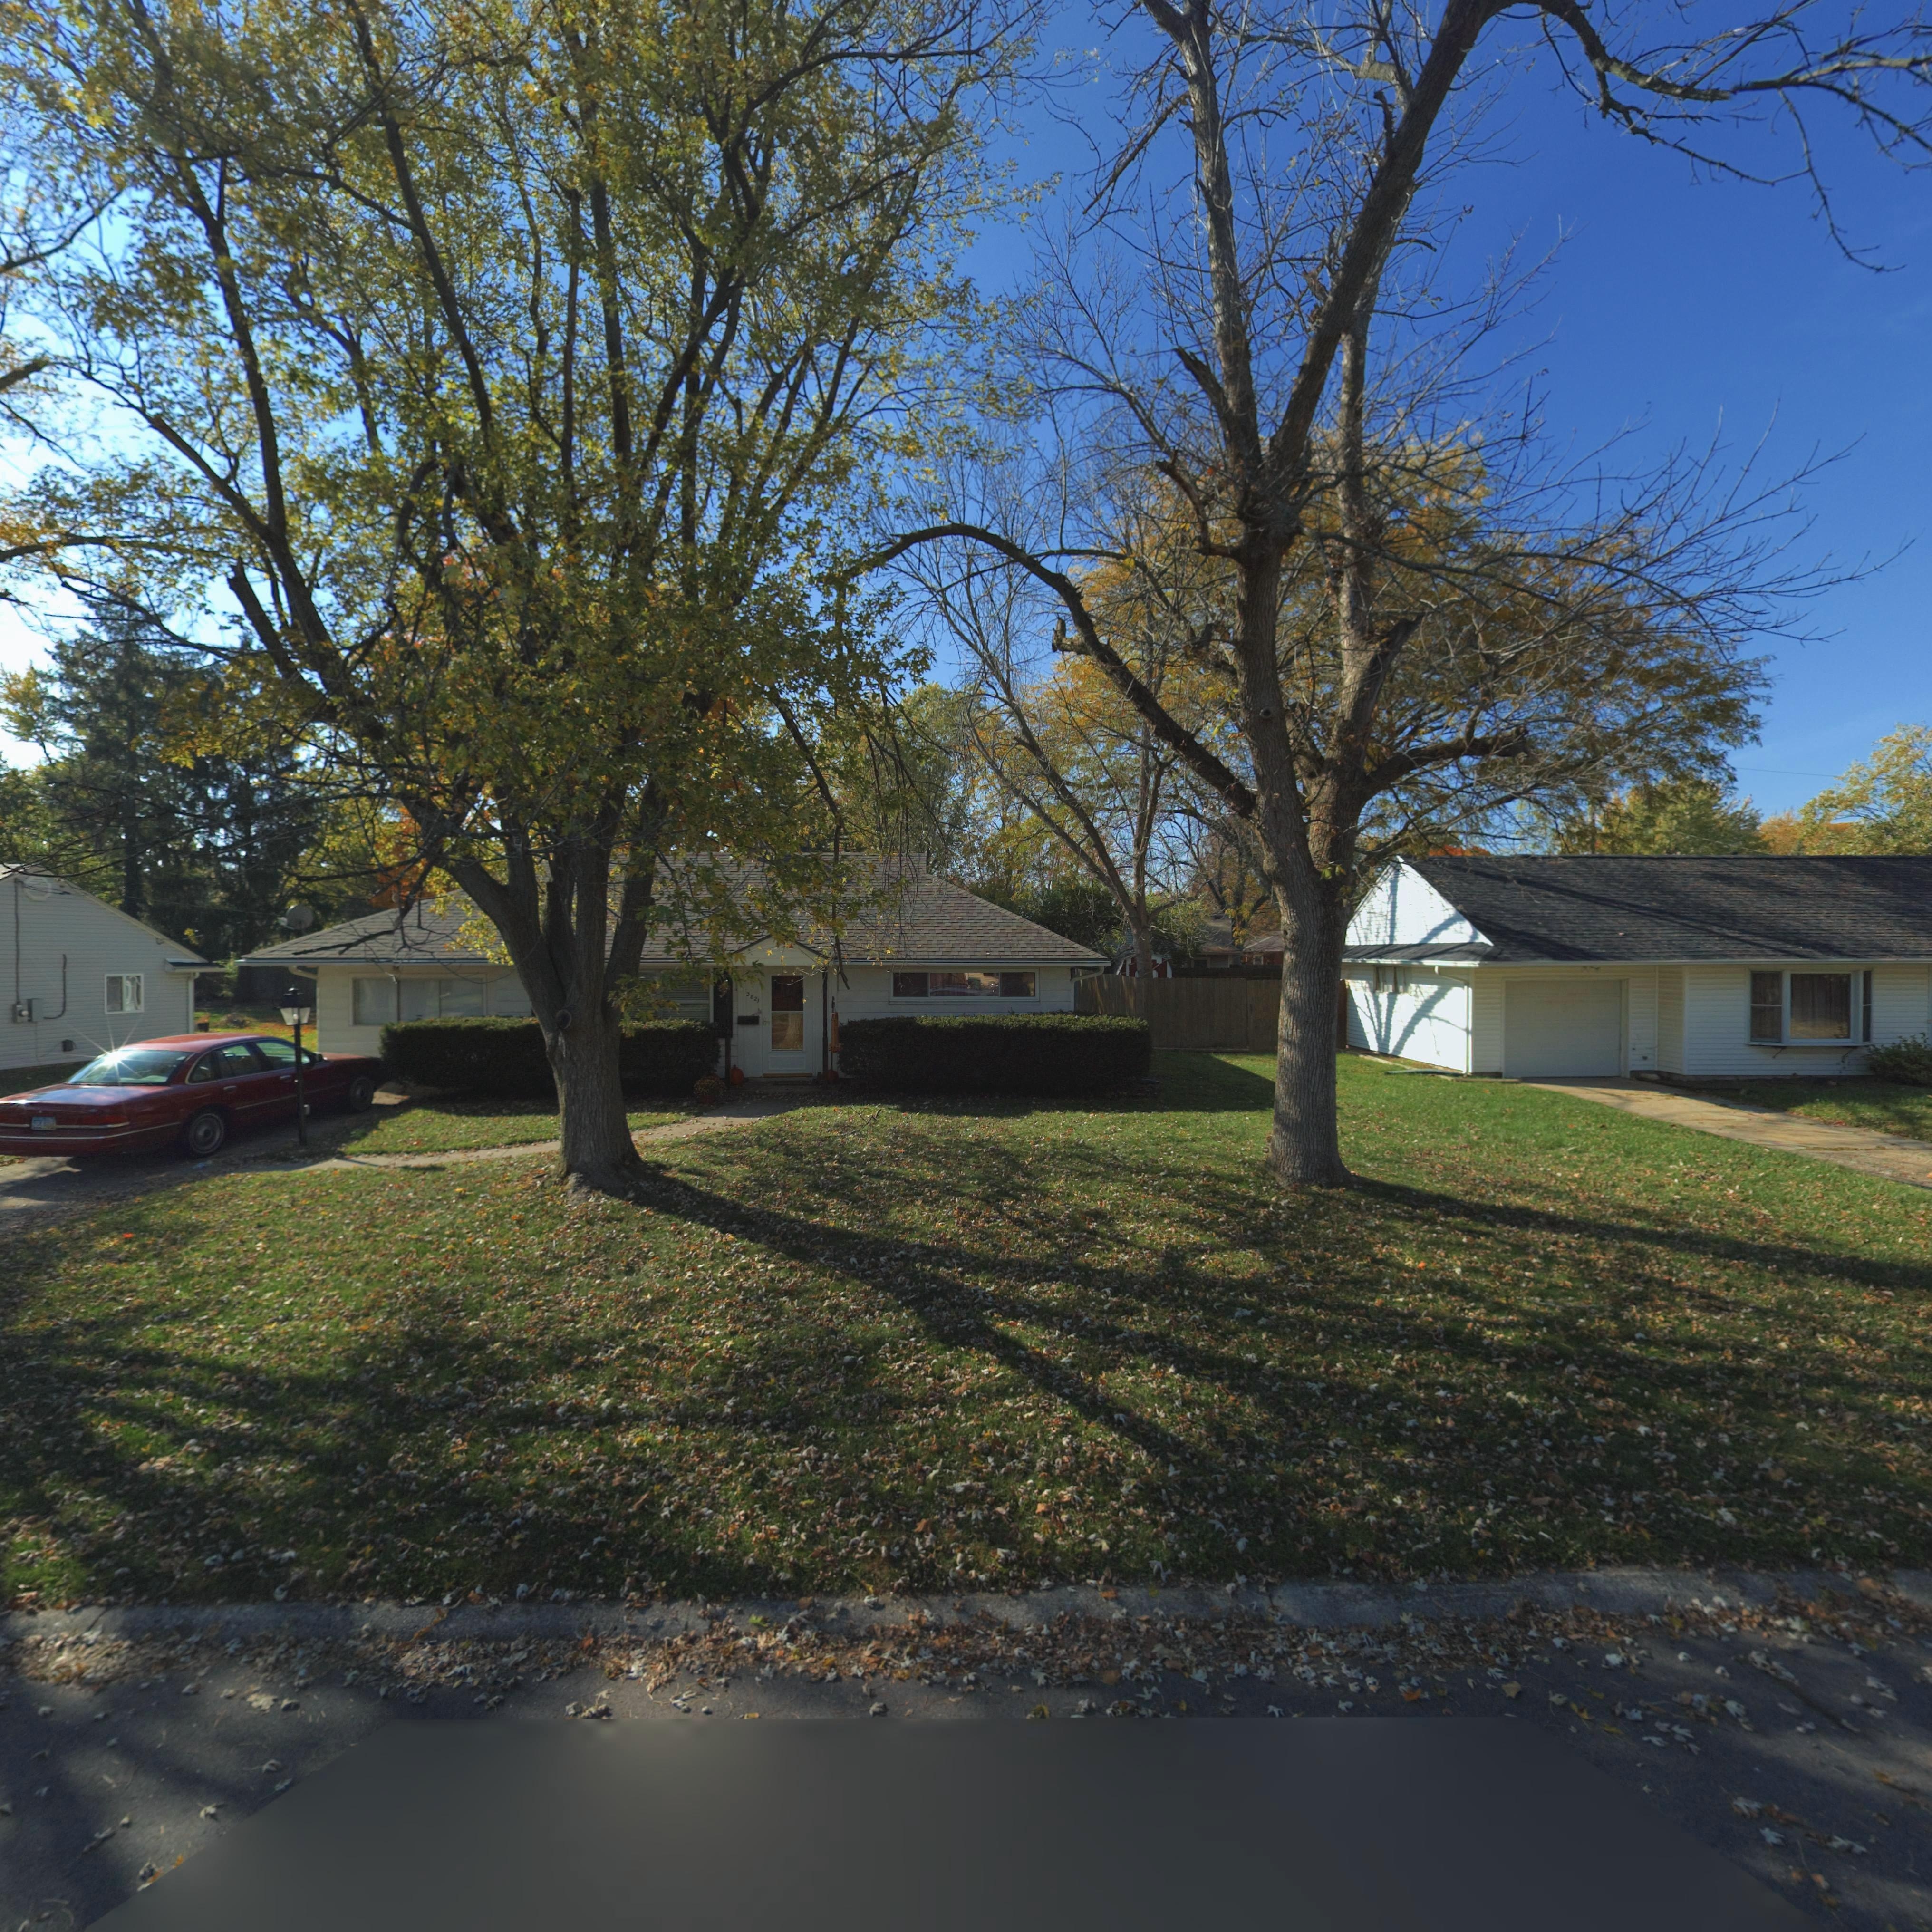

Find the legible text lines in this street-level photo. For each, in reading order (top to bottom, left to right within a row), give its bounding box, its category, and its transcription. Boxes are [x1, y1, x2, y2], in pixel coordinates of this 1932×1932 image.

[746, 991, 760, 1004] StreetNumber: 3821